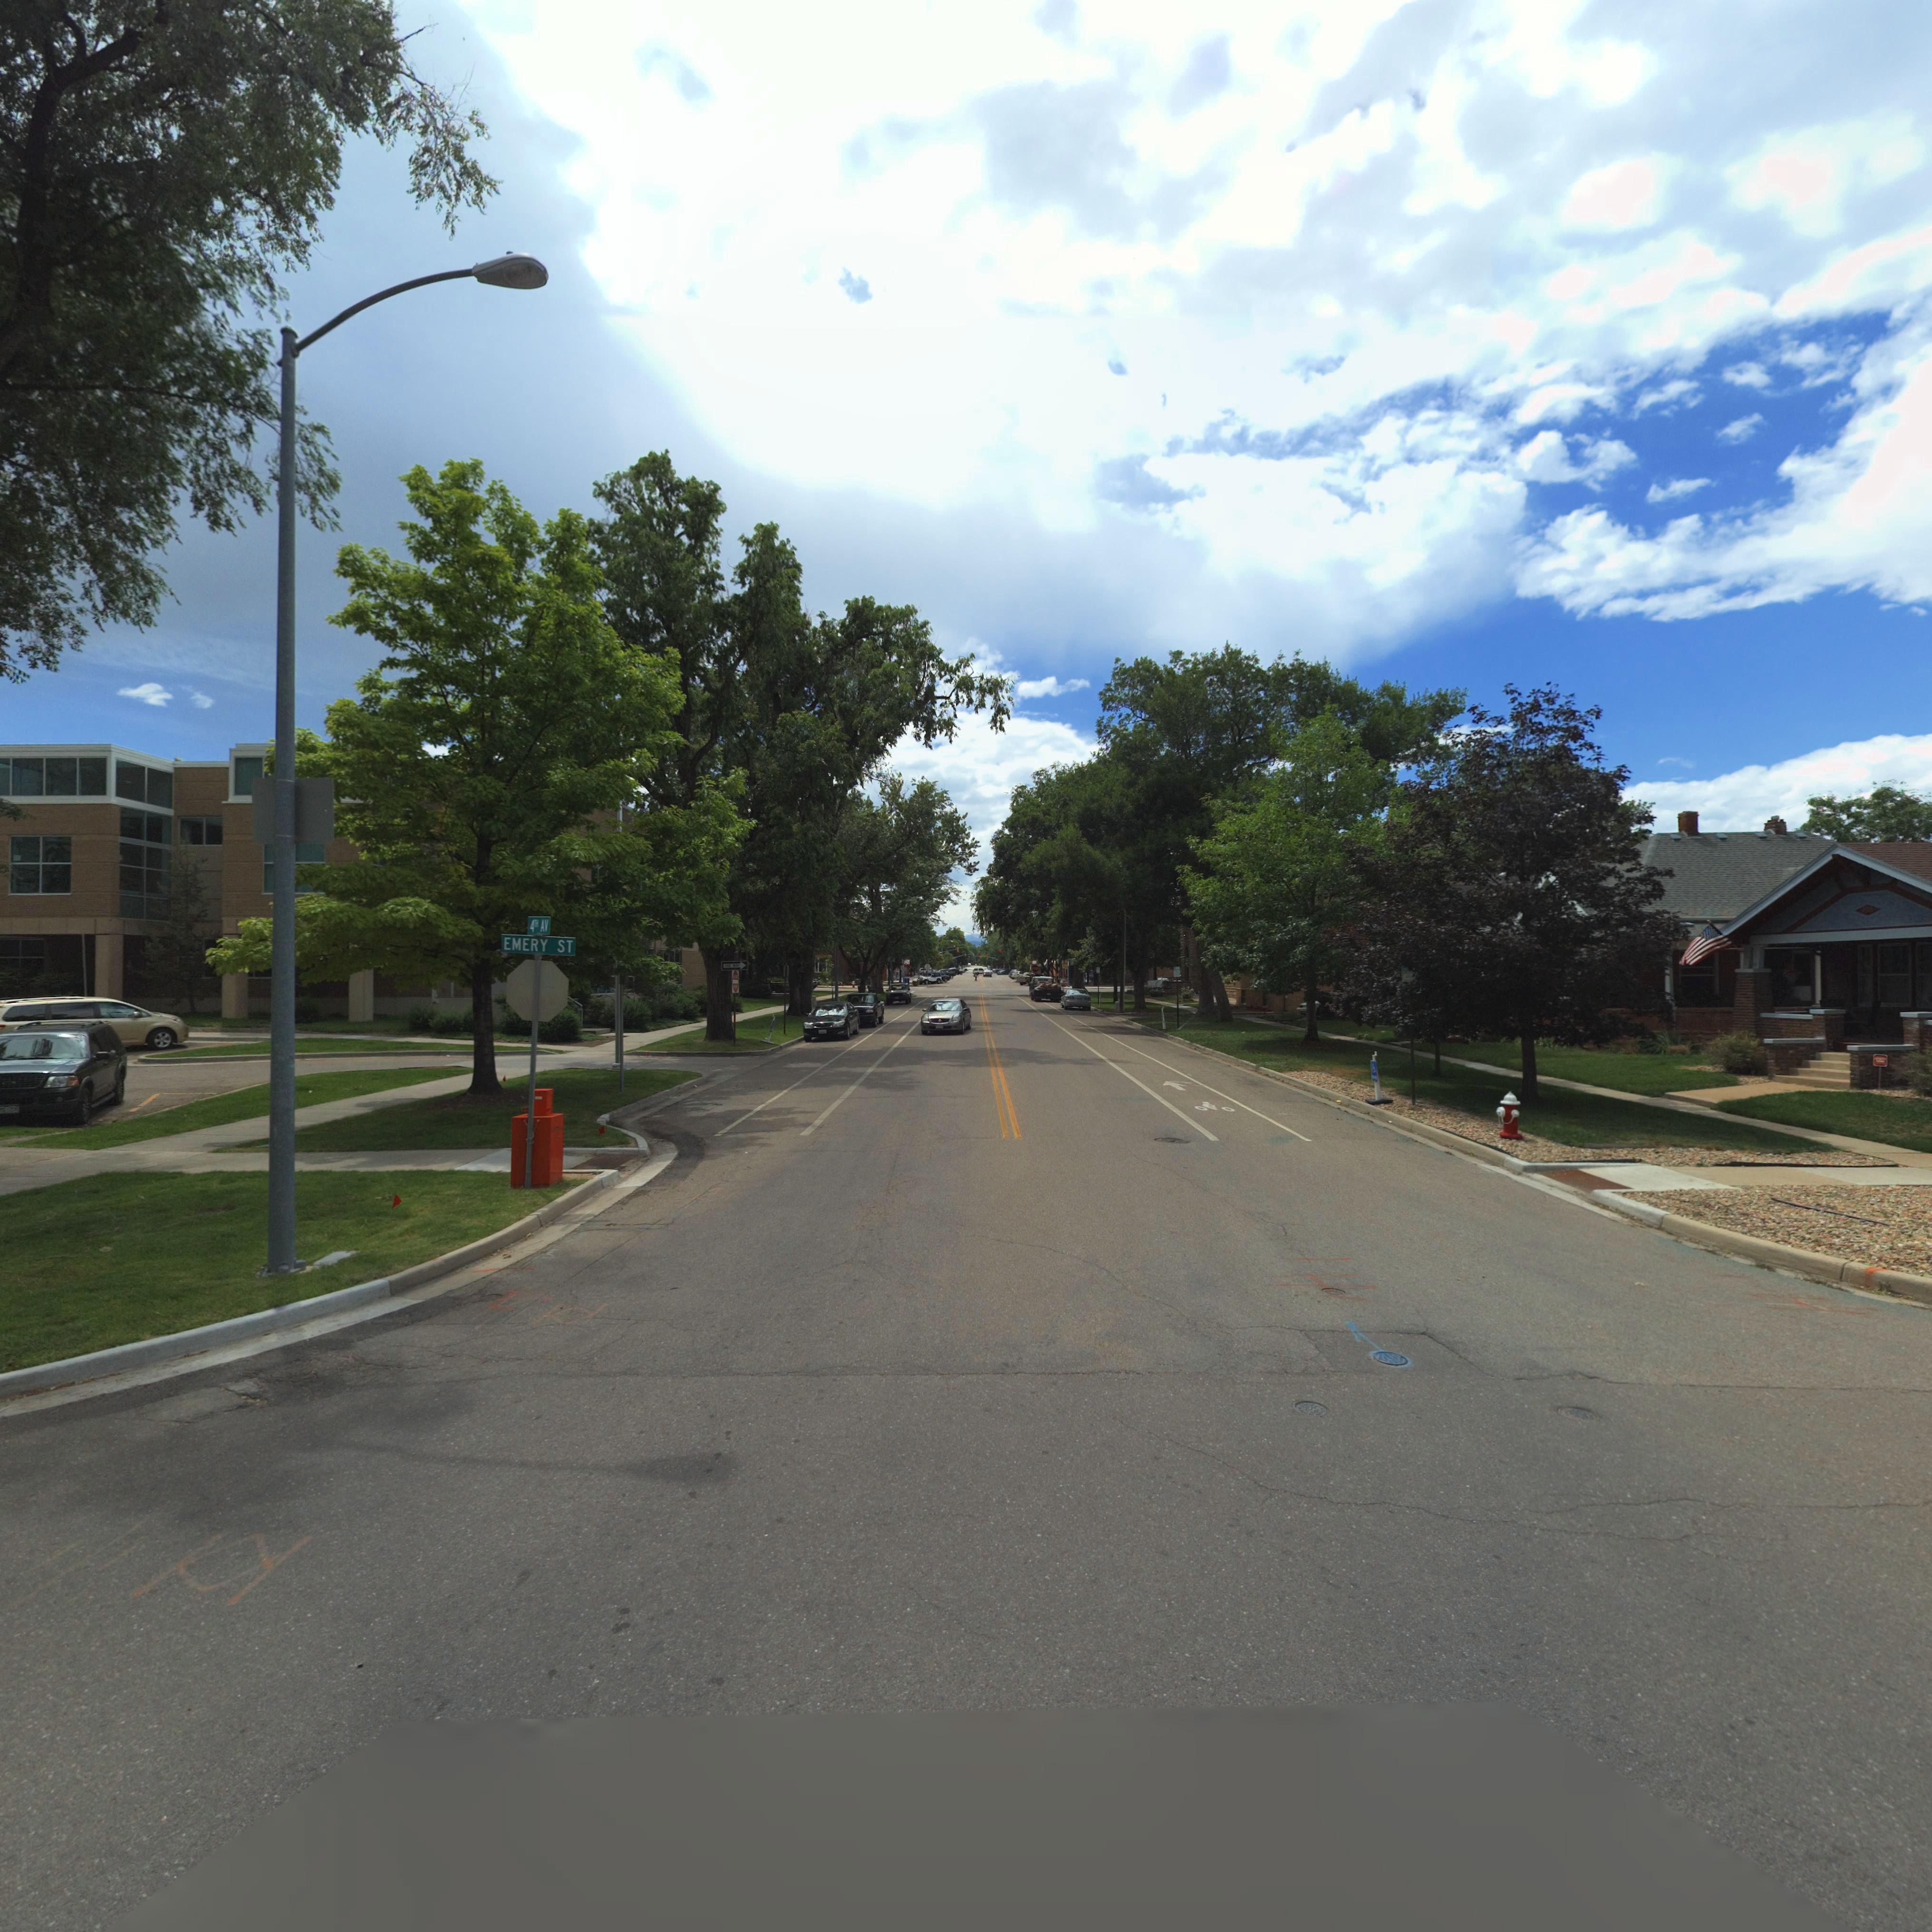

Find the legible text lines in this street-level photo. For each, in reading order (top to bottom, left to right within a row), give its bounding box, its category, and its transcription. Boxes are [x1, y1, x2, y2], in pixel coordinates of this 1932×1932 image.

[529, 919, 549, 933] StreetName: 4TH AV
[503, 936, 573, 953] StreetName: EMERY ST